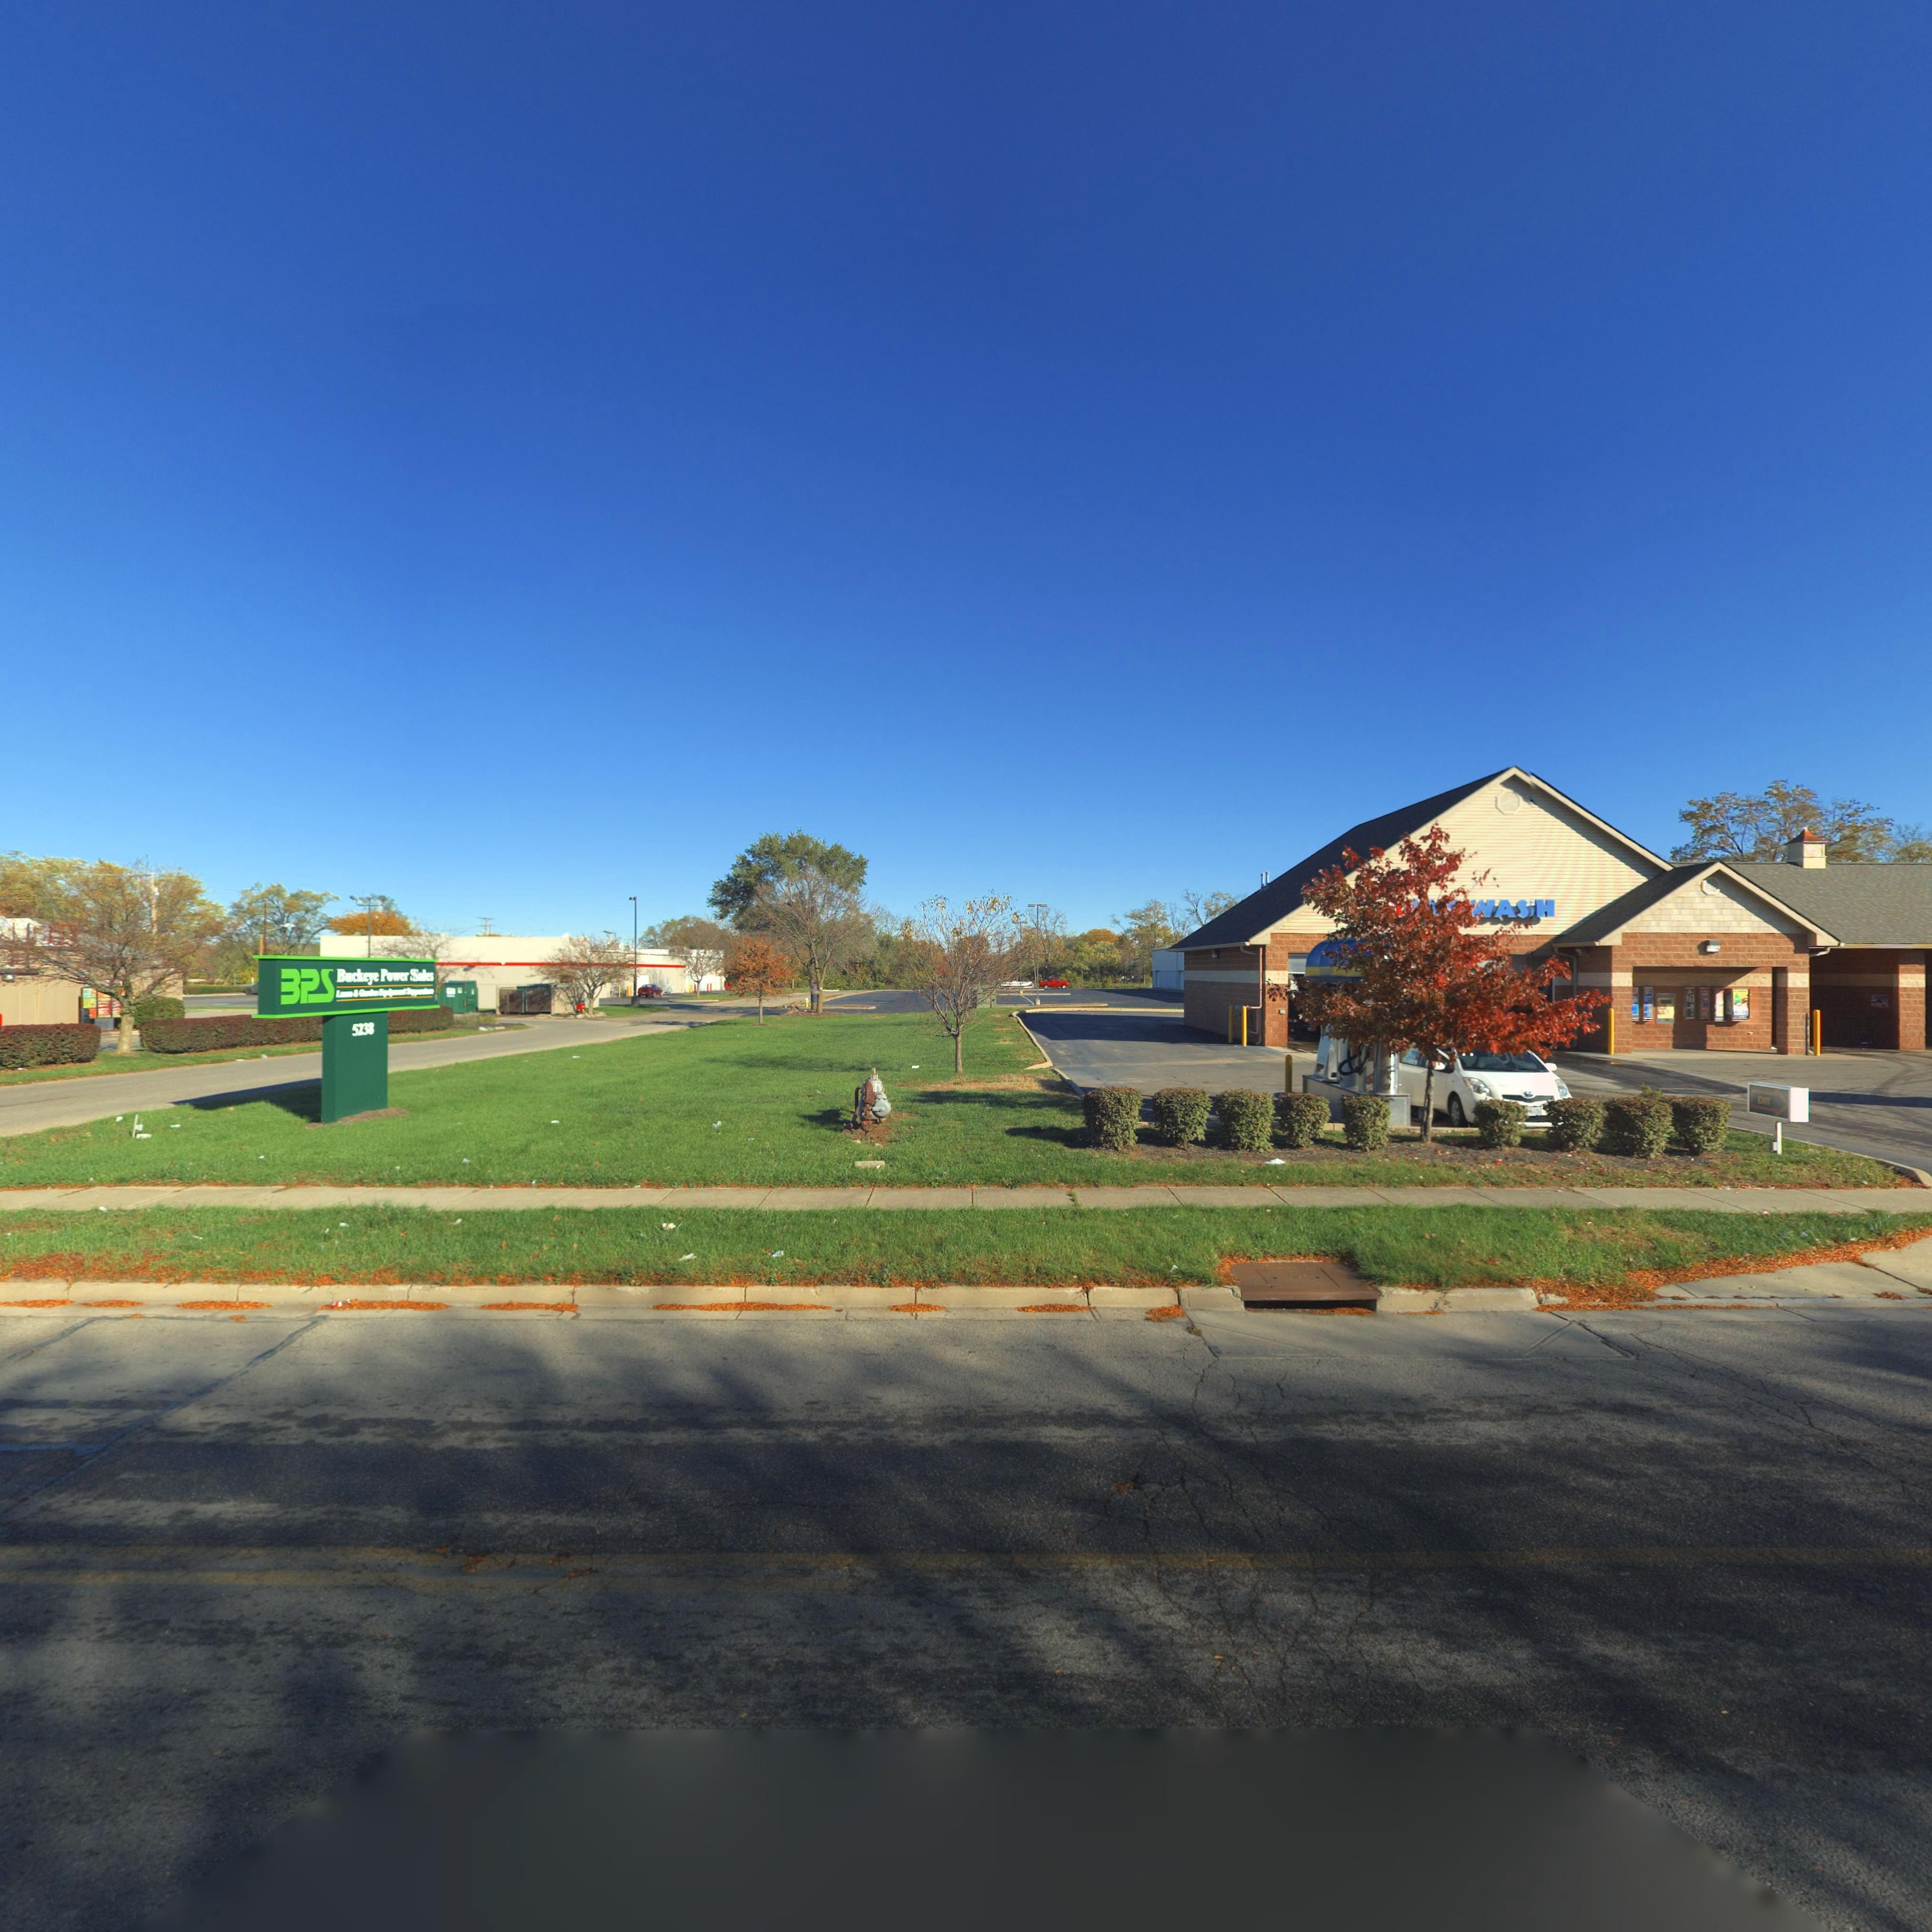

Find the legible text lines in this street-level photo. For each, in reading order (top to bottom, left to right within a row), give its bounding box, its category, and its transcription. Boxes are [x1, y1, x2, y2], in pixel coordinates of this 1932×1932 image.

[350, 1020, 376, 1038] StreetNumber: 5238